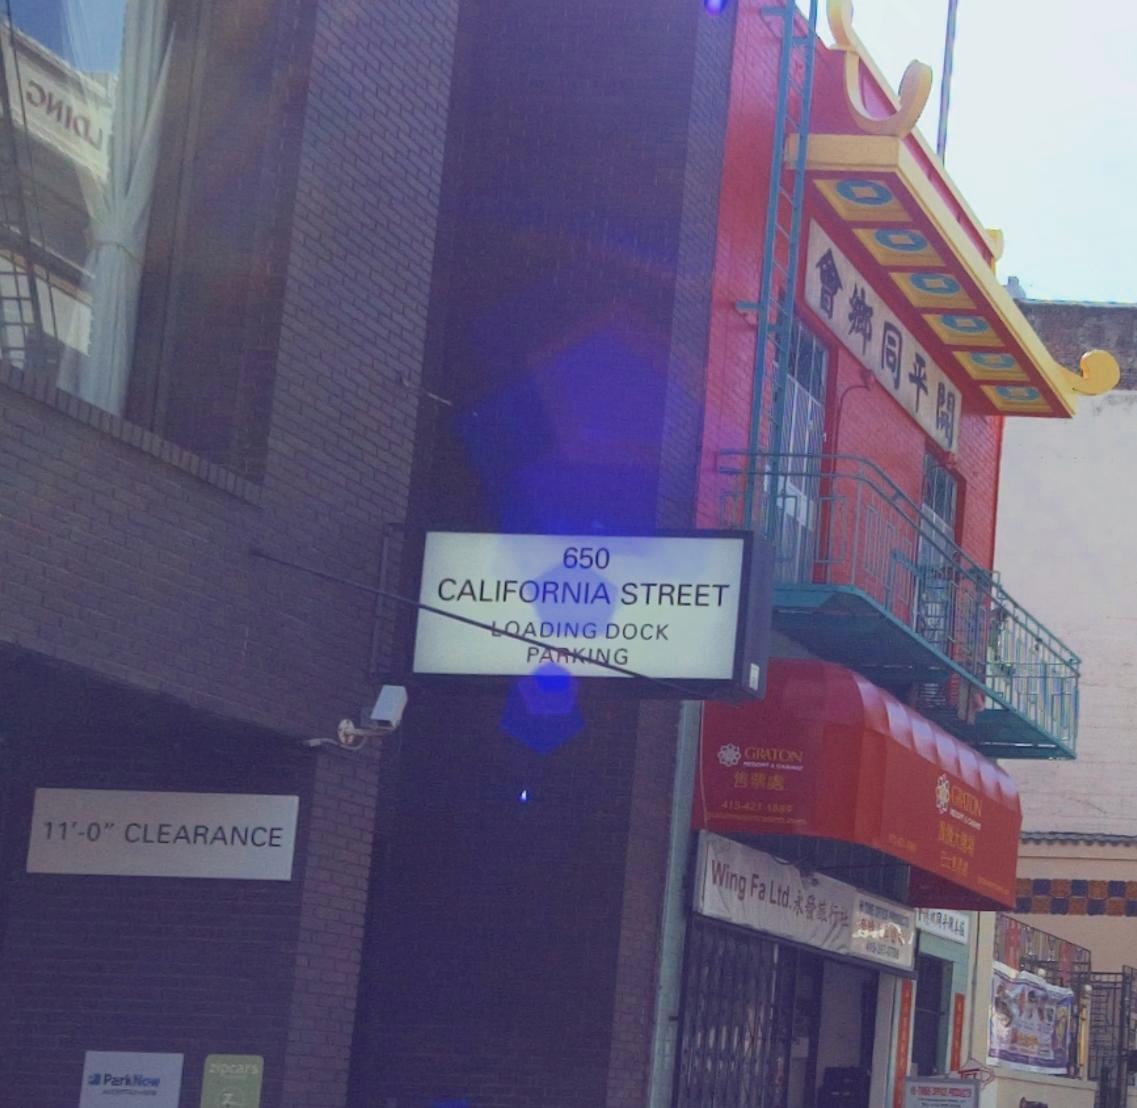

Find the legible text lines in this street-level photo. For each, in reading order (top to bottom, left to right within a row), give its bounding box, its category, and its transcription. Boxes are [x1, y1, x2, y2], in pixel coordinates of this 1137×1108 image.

[24, 75, 104, 154] None: **I**
[560, 545, 611, 572] StreetNumber: 650
[436, 576, 732, 608] StreetName: CALIFORNIA STREET
[489, 619, 670, 642] None: LOADING DOCK
[524, 645, 630, 667] None: PARKING
[743, 745, 804, 764] BusinessName: GRATON
[719, 799, 793, 815] None: 415-421-1589
[950, 782, 983, 822] BusinessName: GRATON
[43, 820, 284, 849] None: 11'-0" CLEARANCE
[709, 856, 792, 912] BusinessName: Wing Fa Ltd.
[102, 1071, 163, 1089] None: ParkHow
[206, 1059, 259, 1079] BusinessName: zipcars